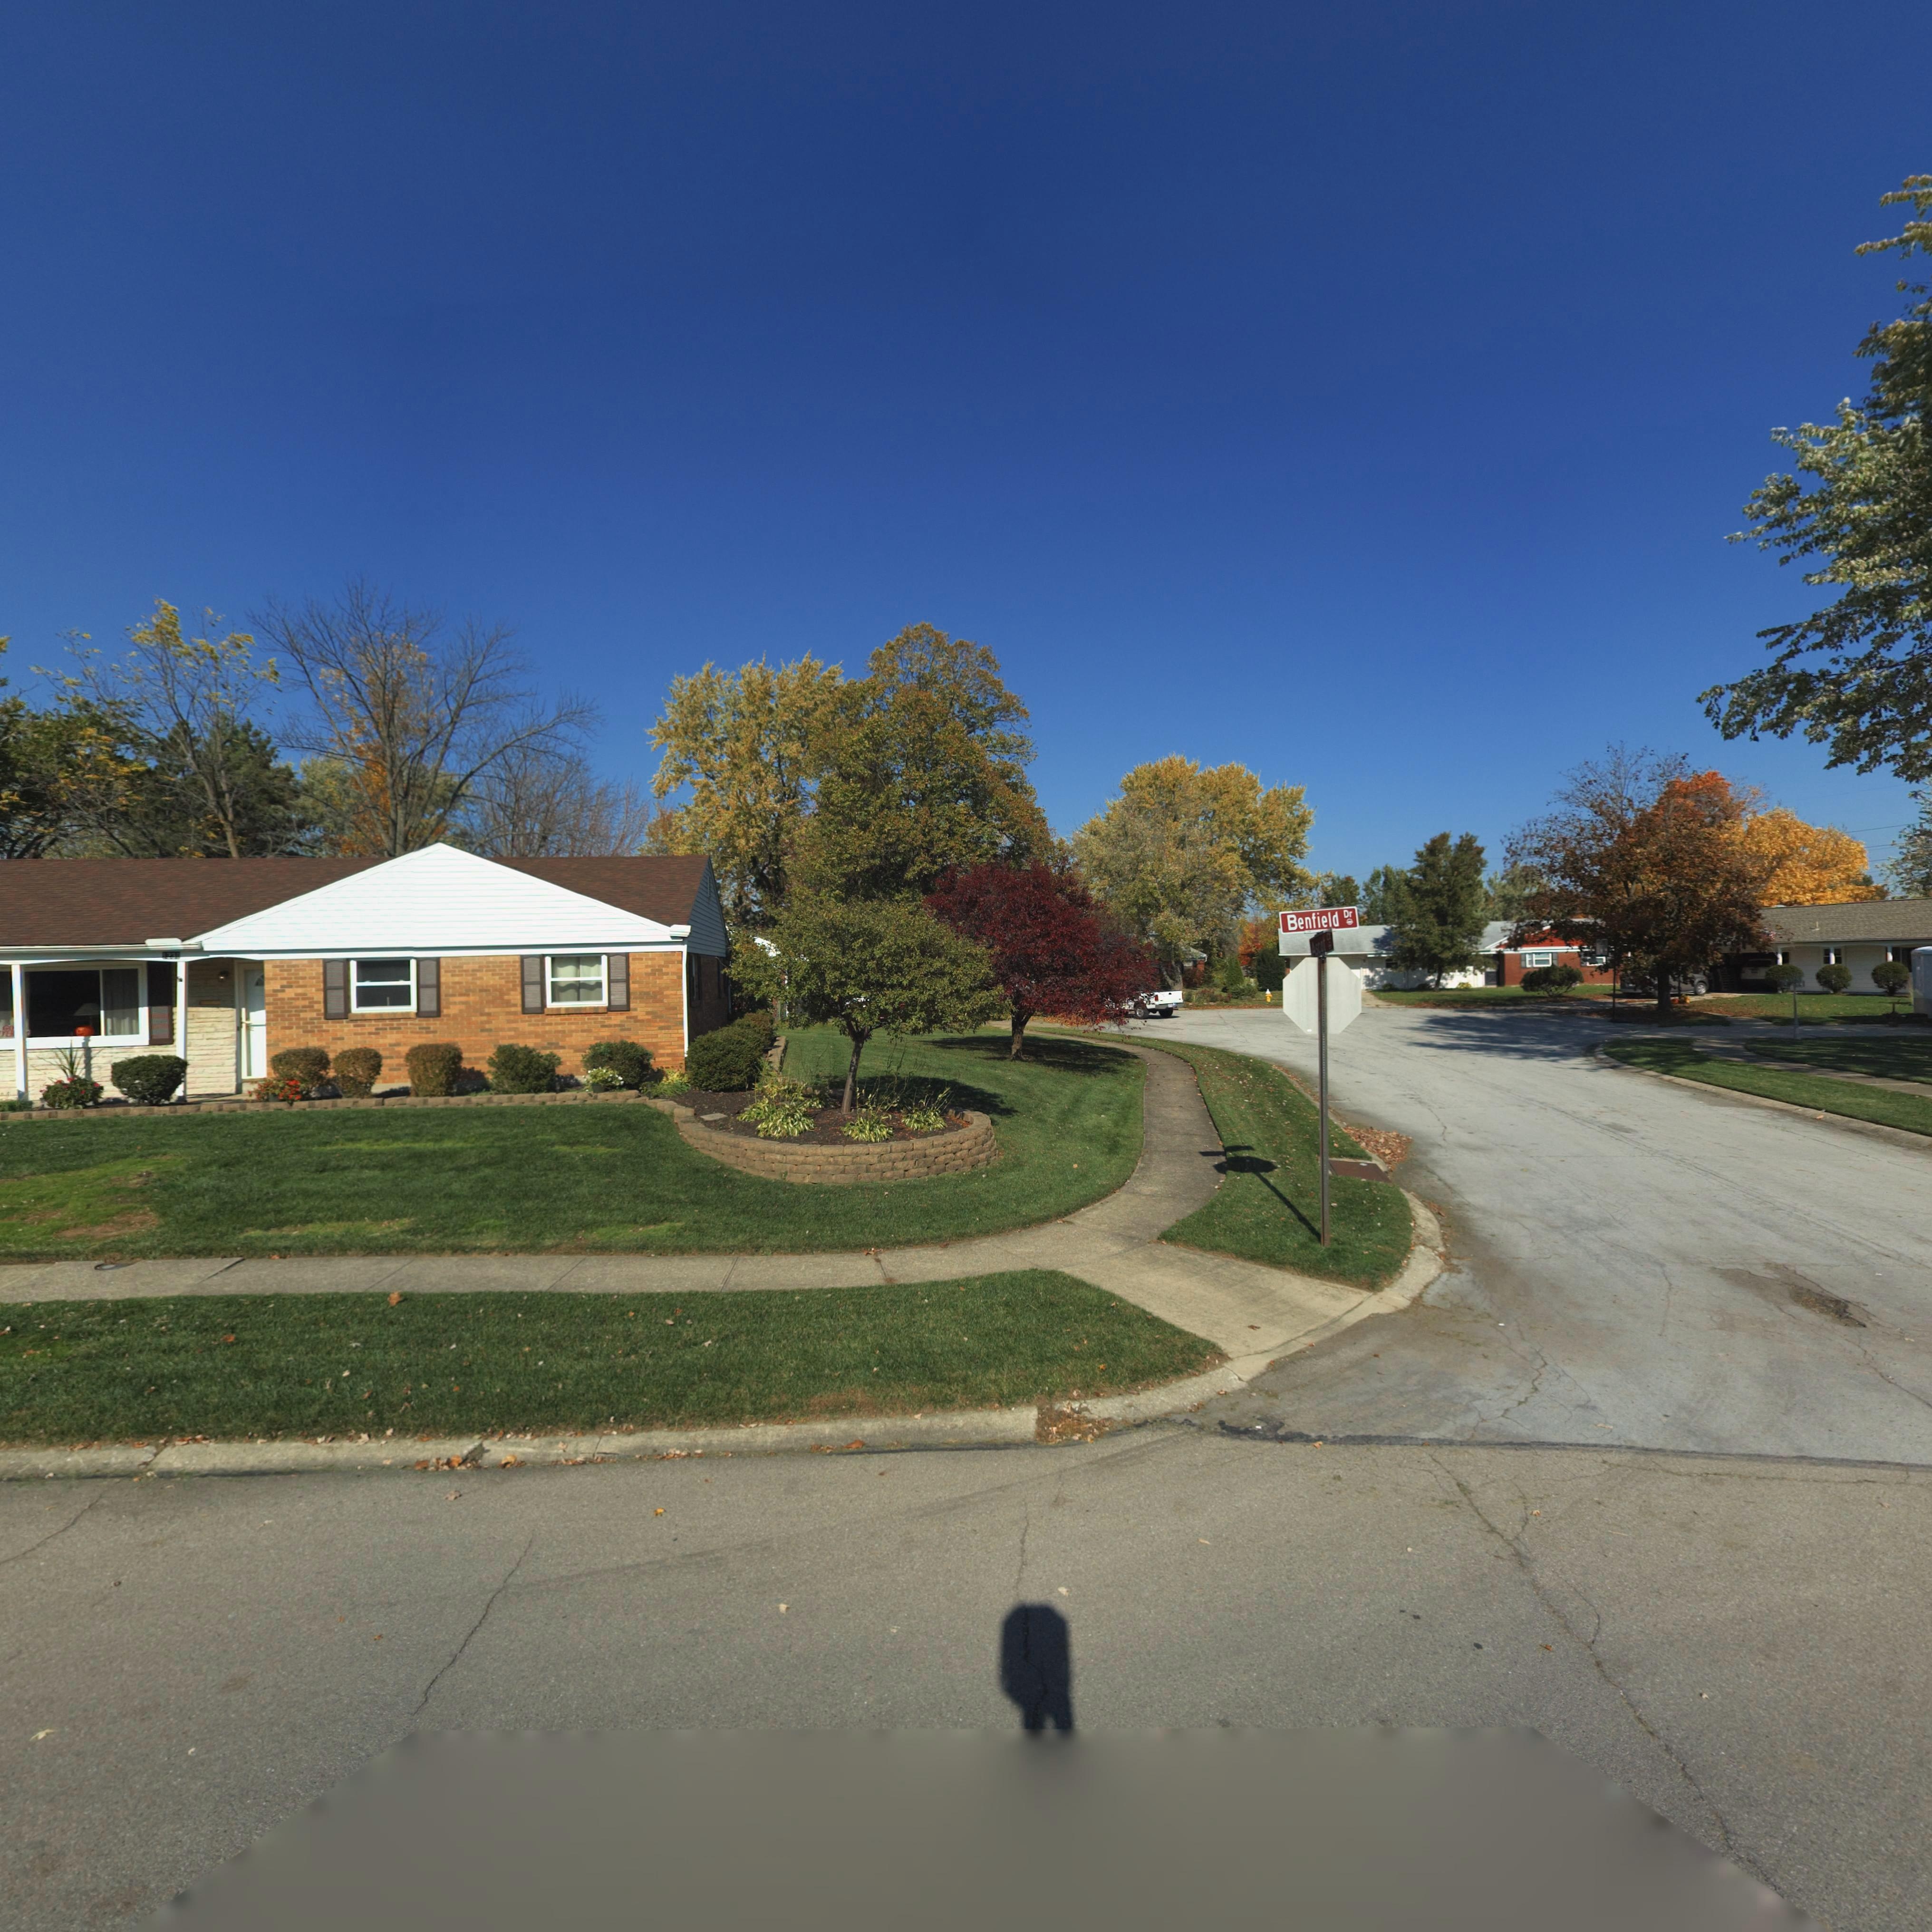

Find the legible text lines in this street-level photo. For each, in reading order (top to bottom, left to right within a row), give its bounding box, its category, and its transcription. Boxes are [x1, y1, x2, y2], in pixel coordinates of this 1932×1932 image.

[1286, 909, 1354, 931] StreetName: Benfield Dr
[1311, 931, 1331, 956] StreetName: Ascot Ct
[162, 952, 180, 959] None: 1231